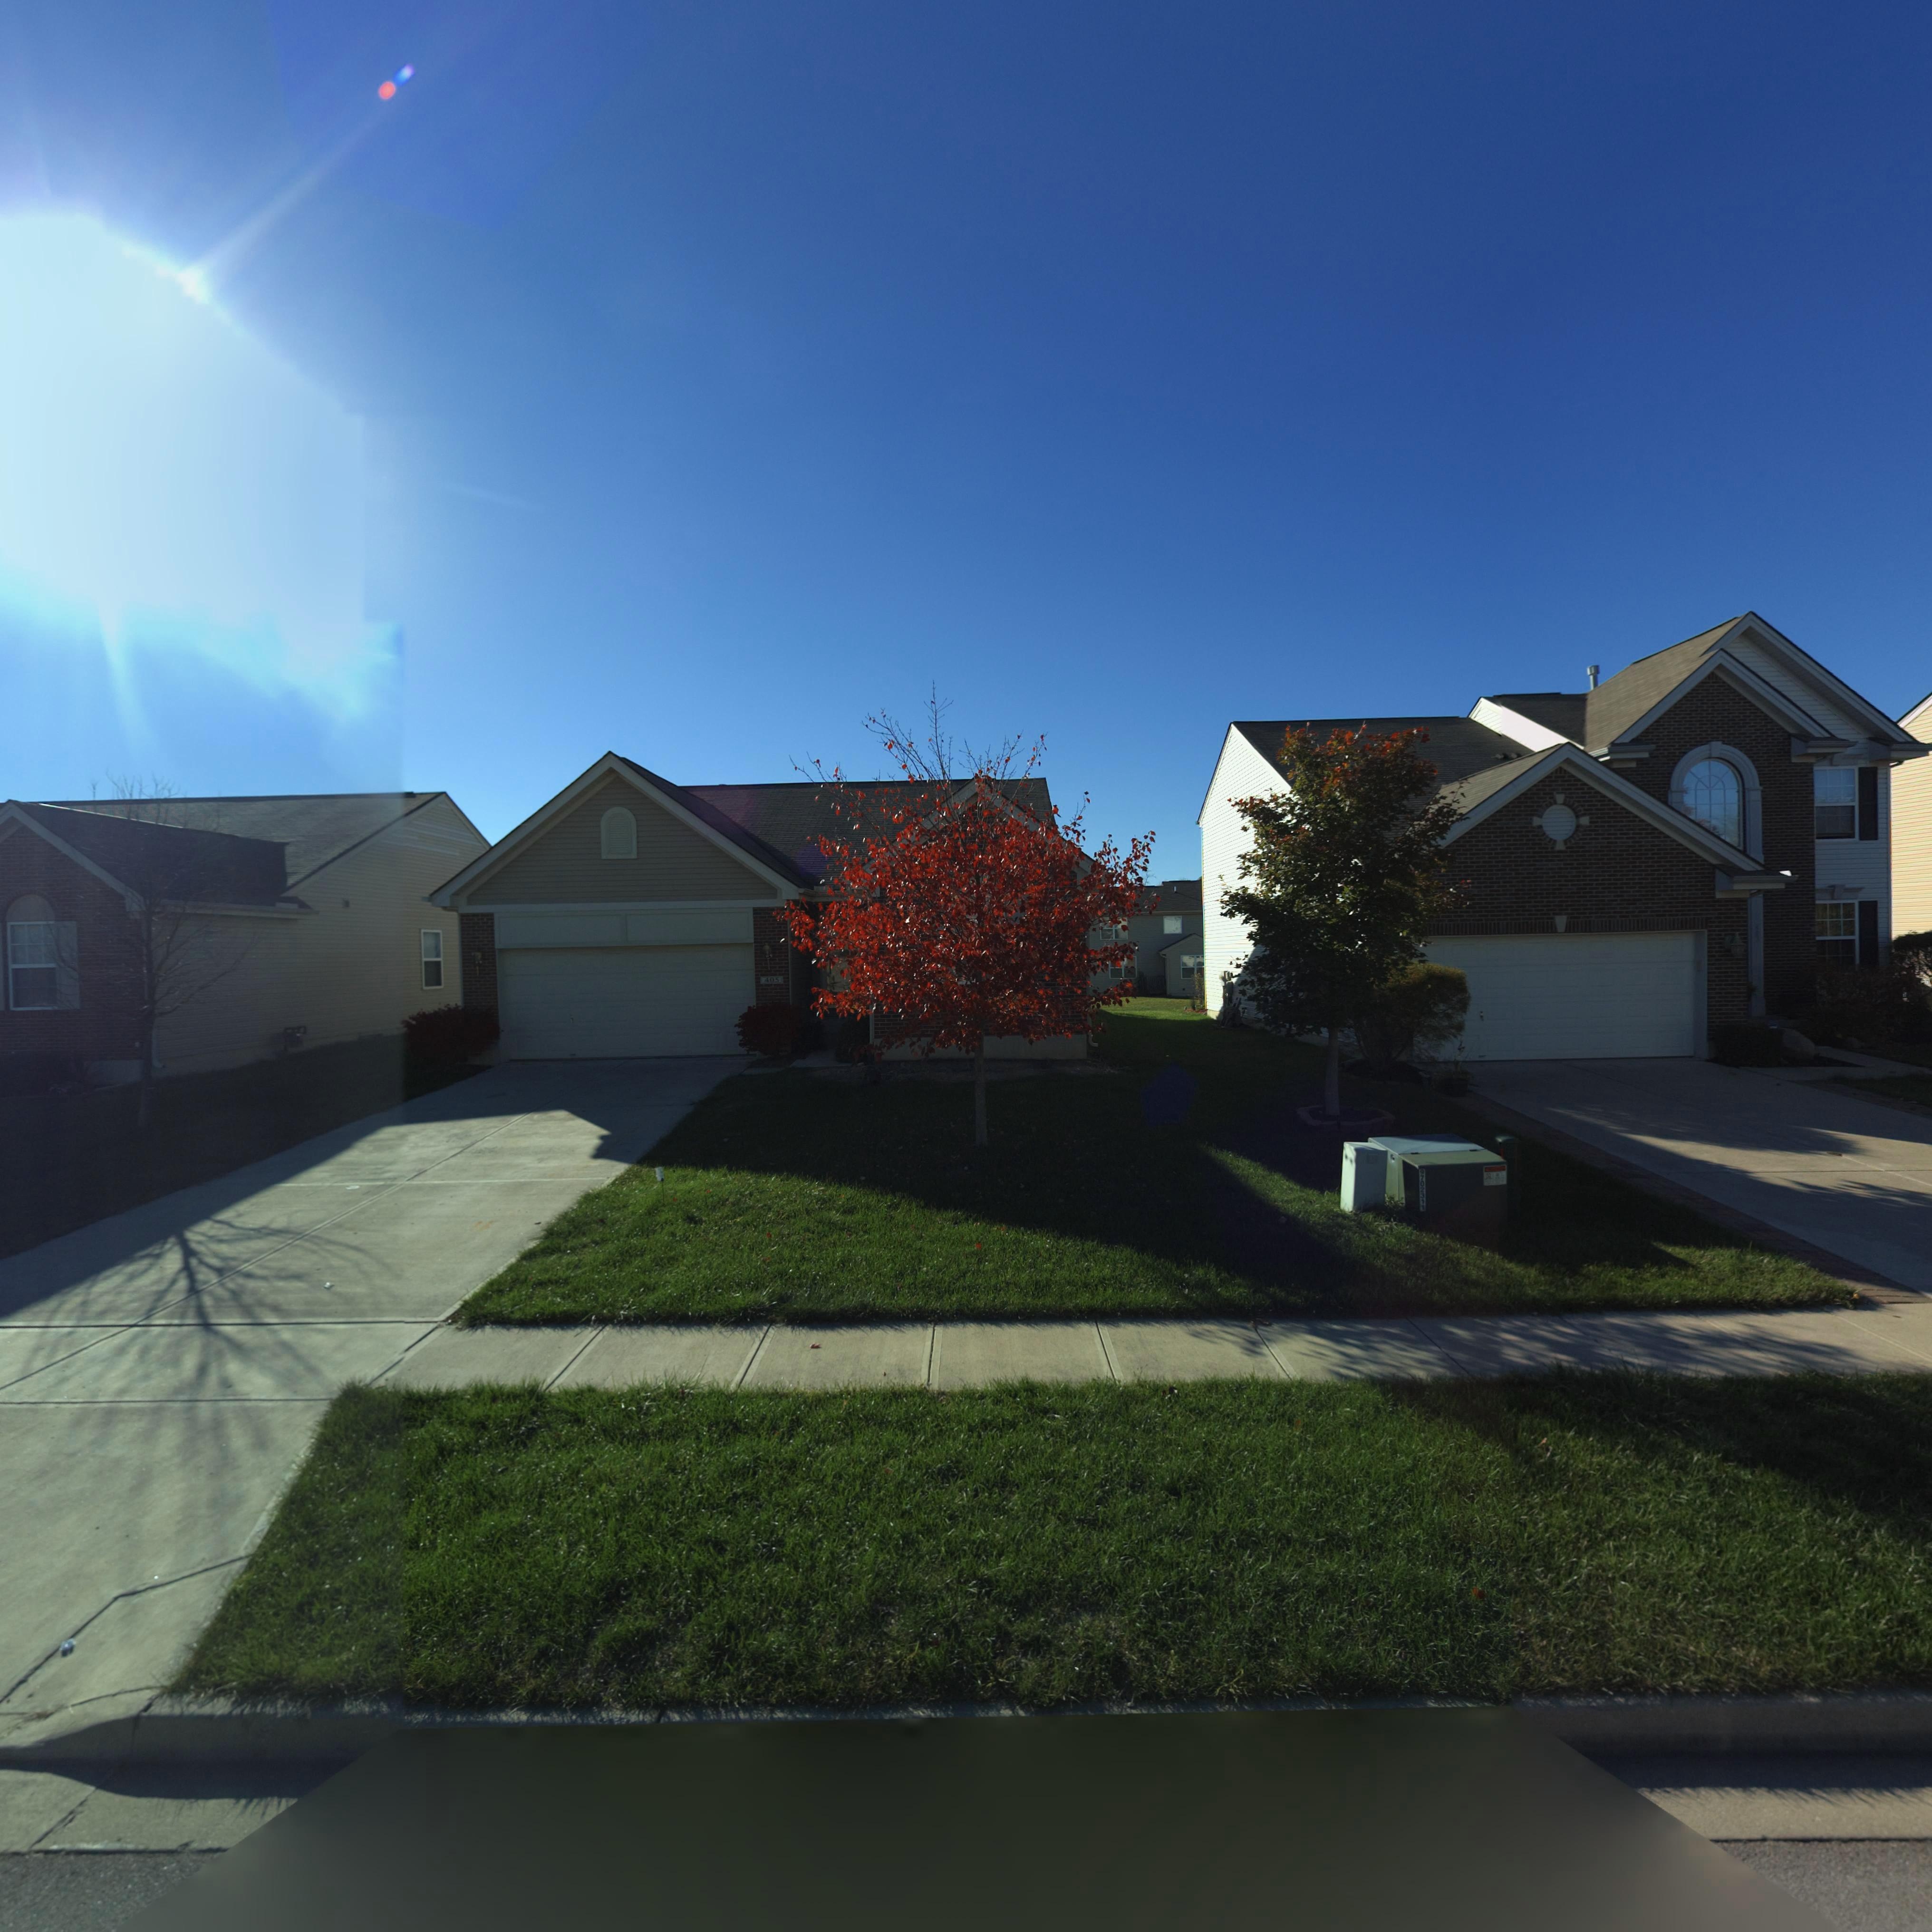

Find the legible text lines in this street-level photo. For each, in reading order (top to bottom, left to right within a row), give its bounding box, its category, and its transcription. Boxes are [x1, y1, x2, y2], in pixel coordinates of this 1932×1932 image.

[1754, 923, 1760, 943] StreetNumber: 407
[764, 976, 780, 983] StreetNumber: 405